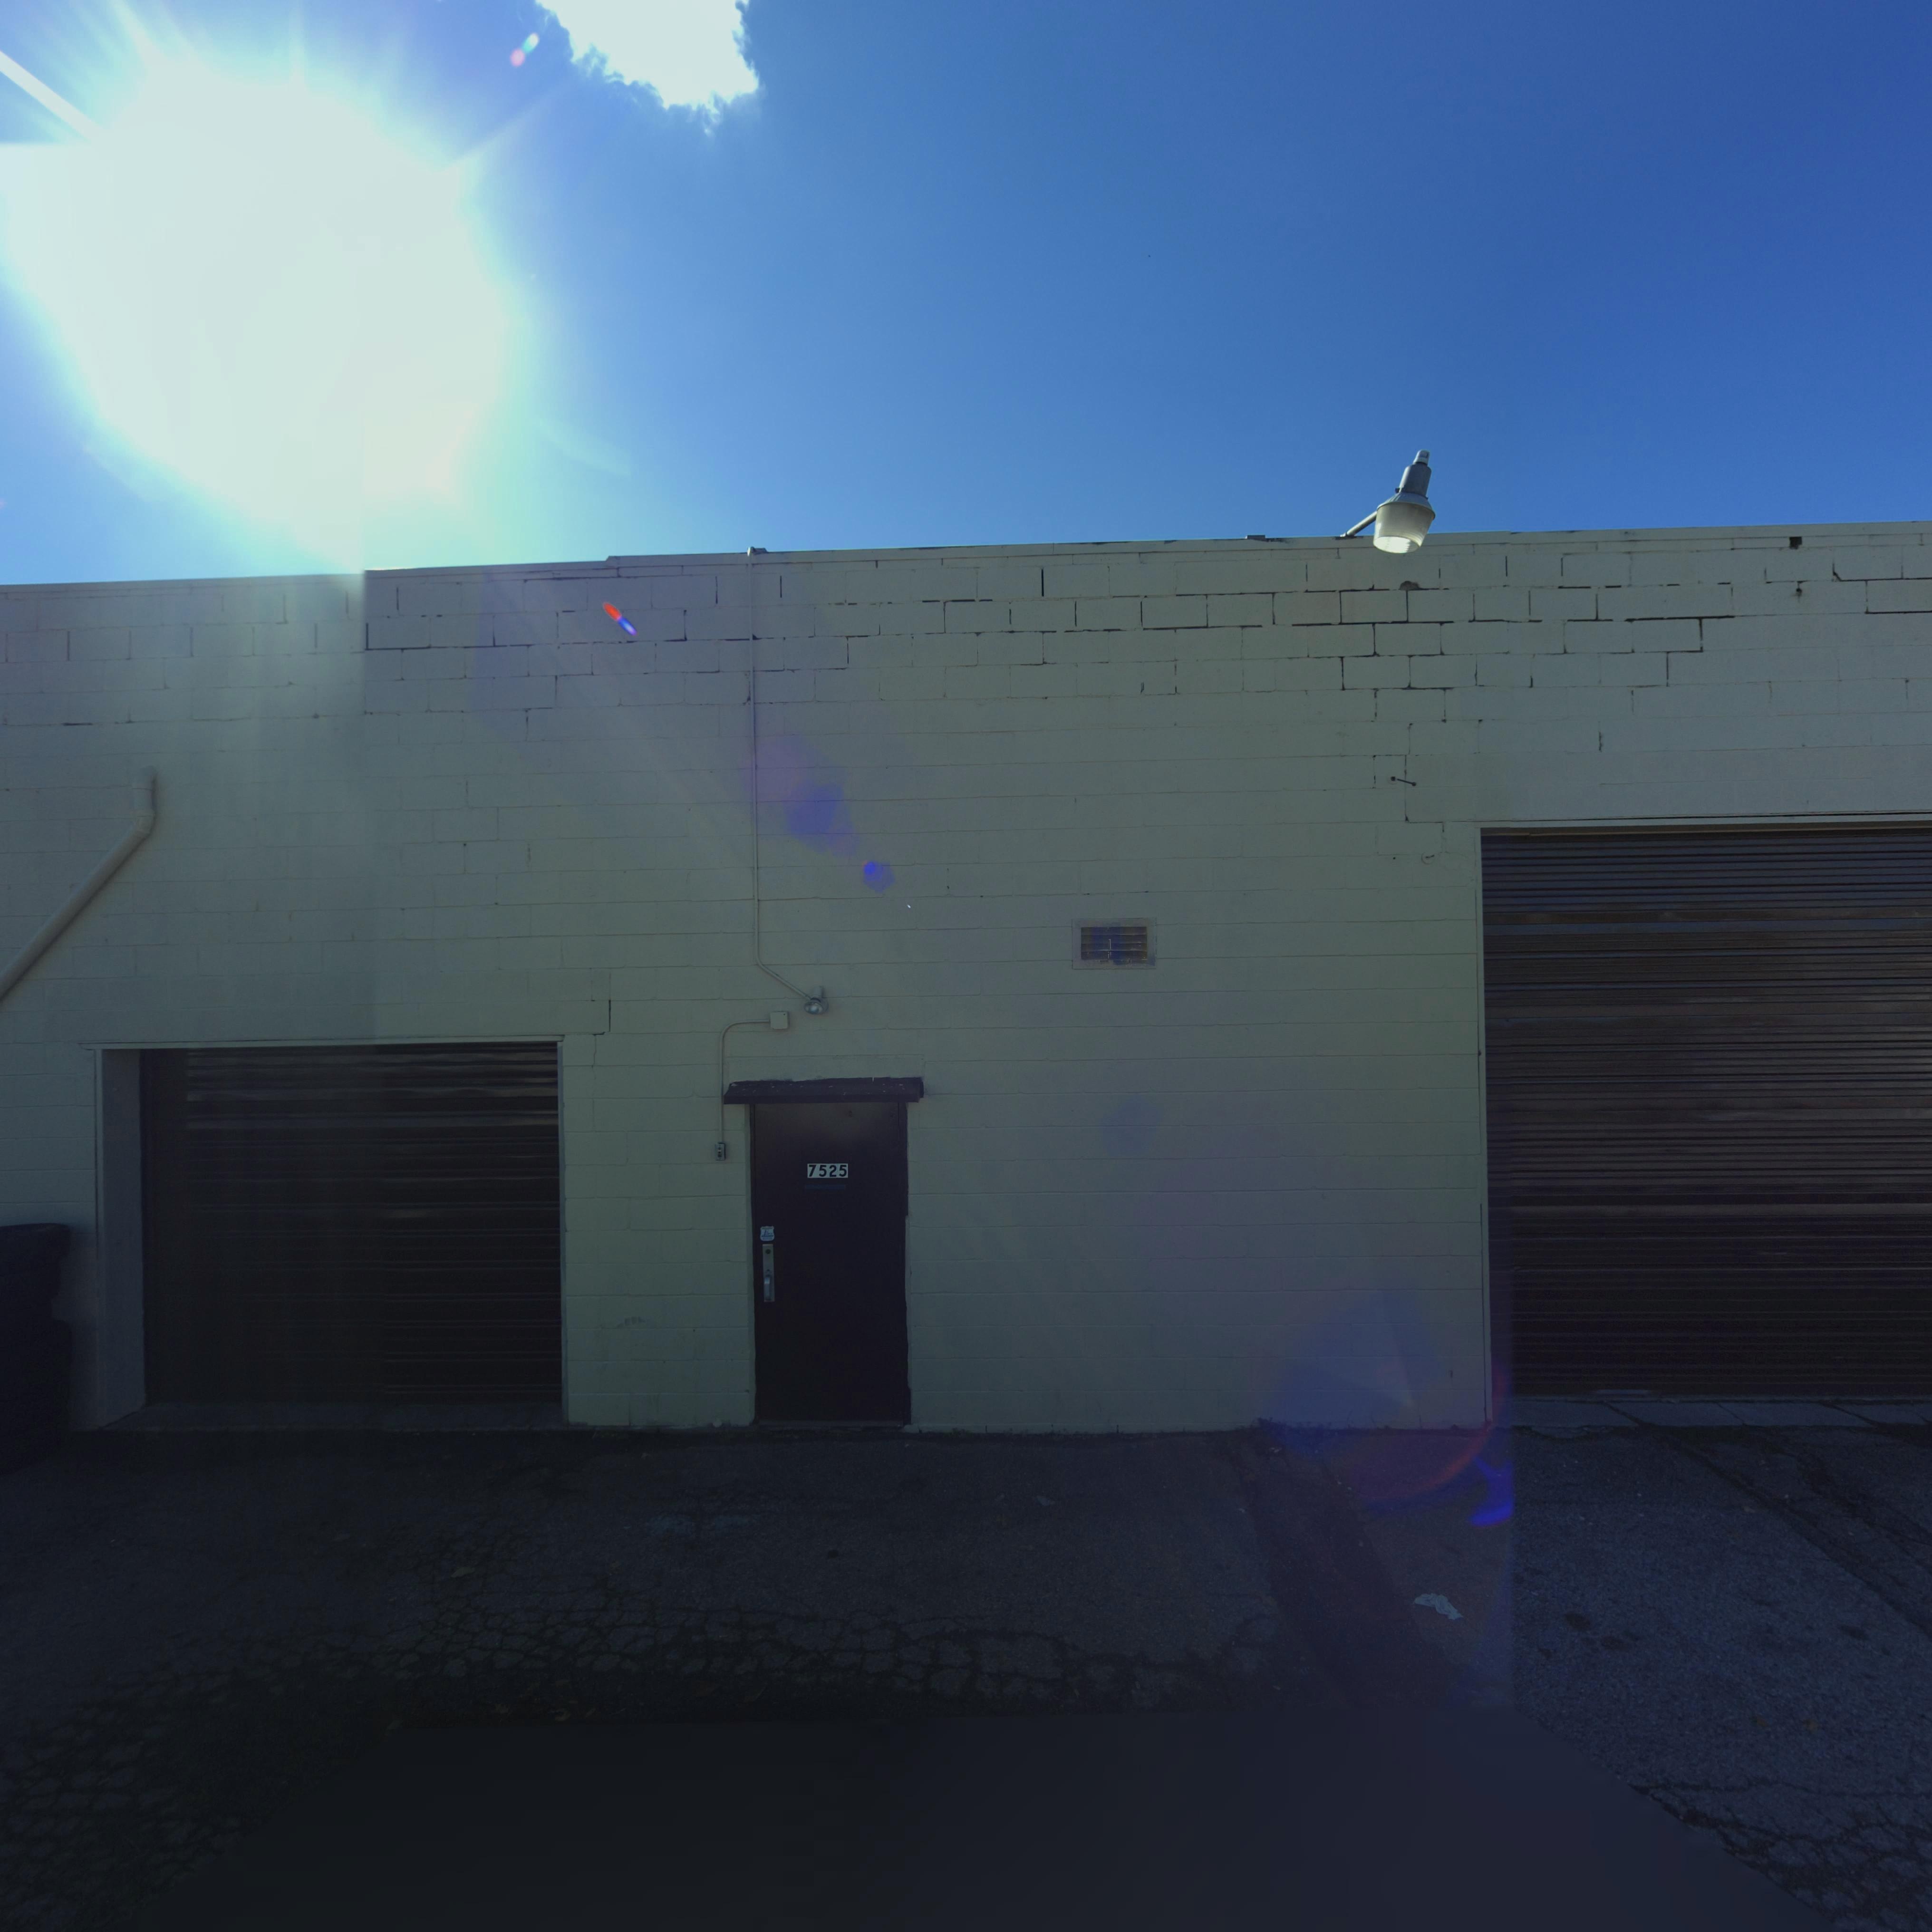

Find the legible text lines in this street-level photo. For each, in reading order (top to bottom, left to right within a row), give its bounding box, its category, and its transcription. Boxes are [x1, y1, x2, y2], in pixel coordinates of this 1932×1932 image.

[808, 1164, 848, 1178] StreetNumber: 7525